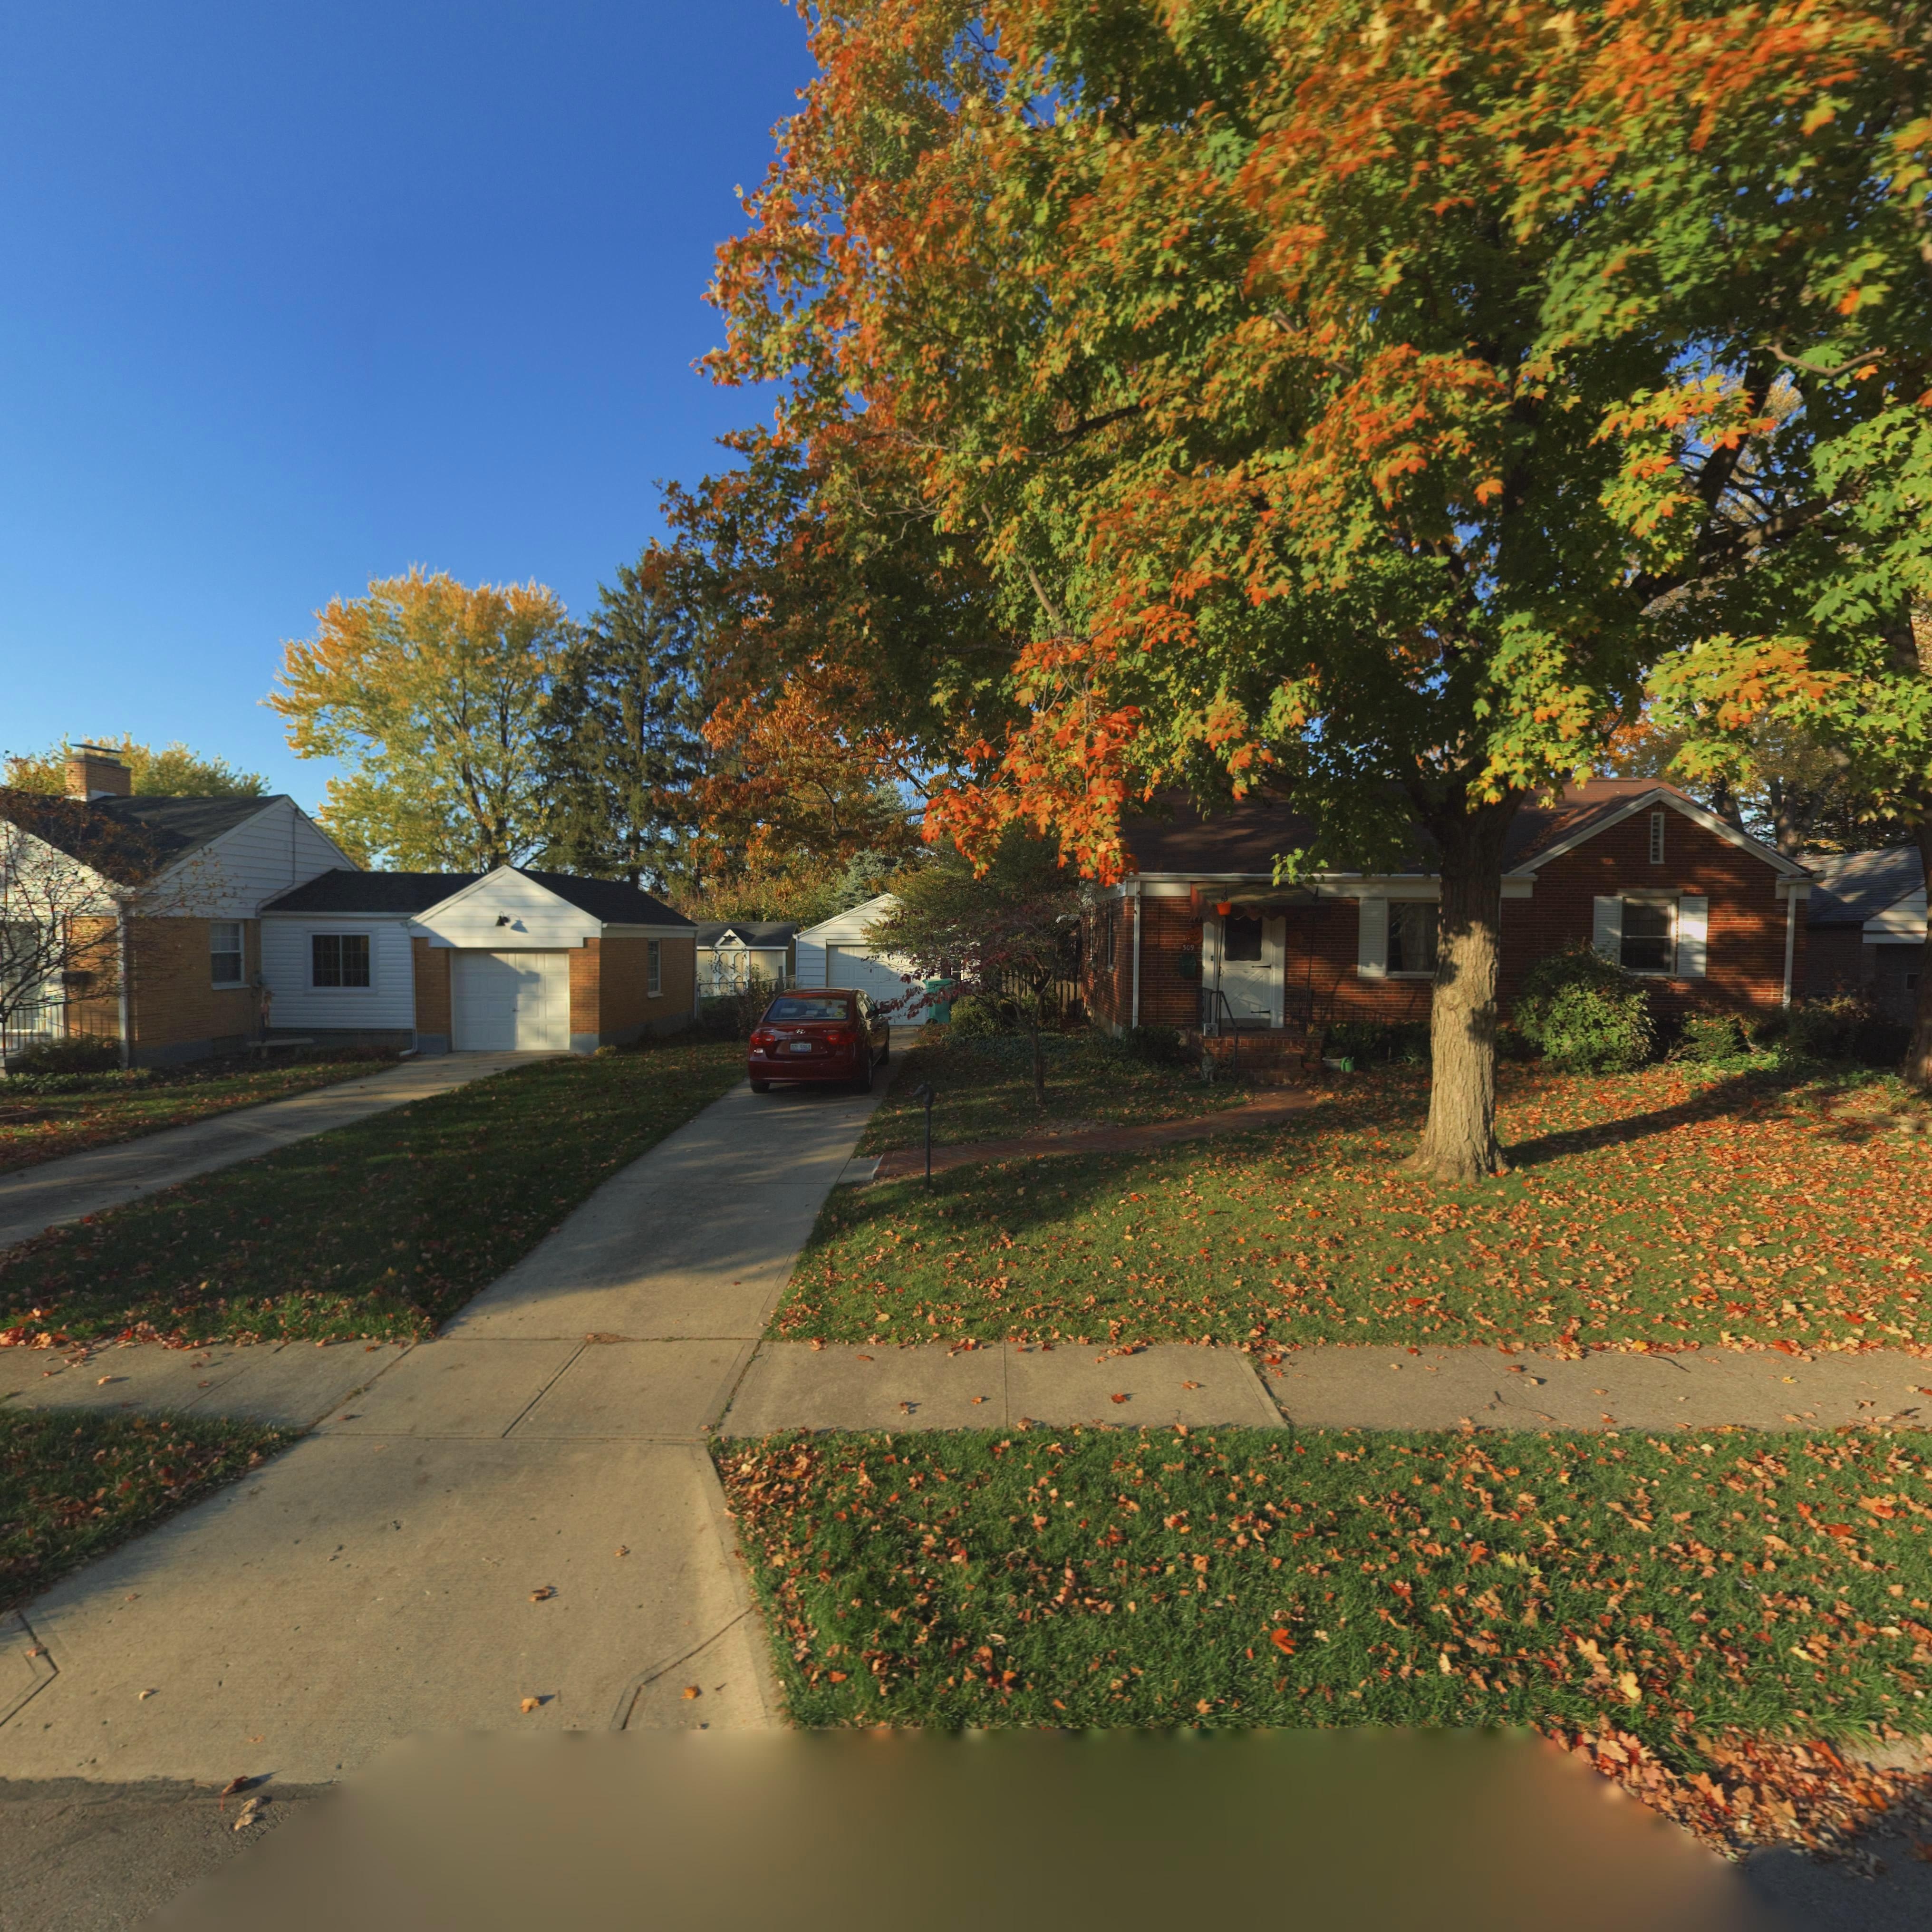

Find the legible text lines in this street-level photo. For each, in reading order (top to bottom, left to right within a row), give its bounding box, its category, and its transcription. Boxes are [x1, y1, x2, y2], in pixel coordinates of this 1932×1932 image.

[1182, 944, 1195, 951] StreetNumber: 309